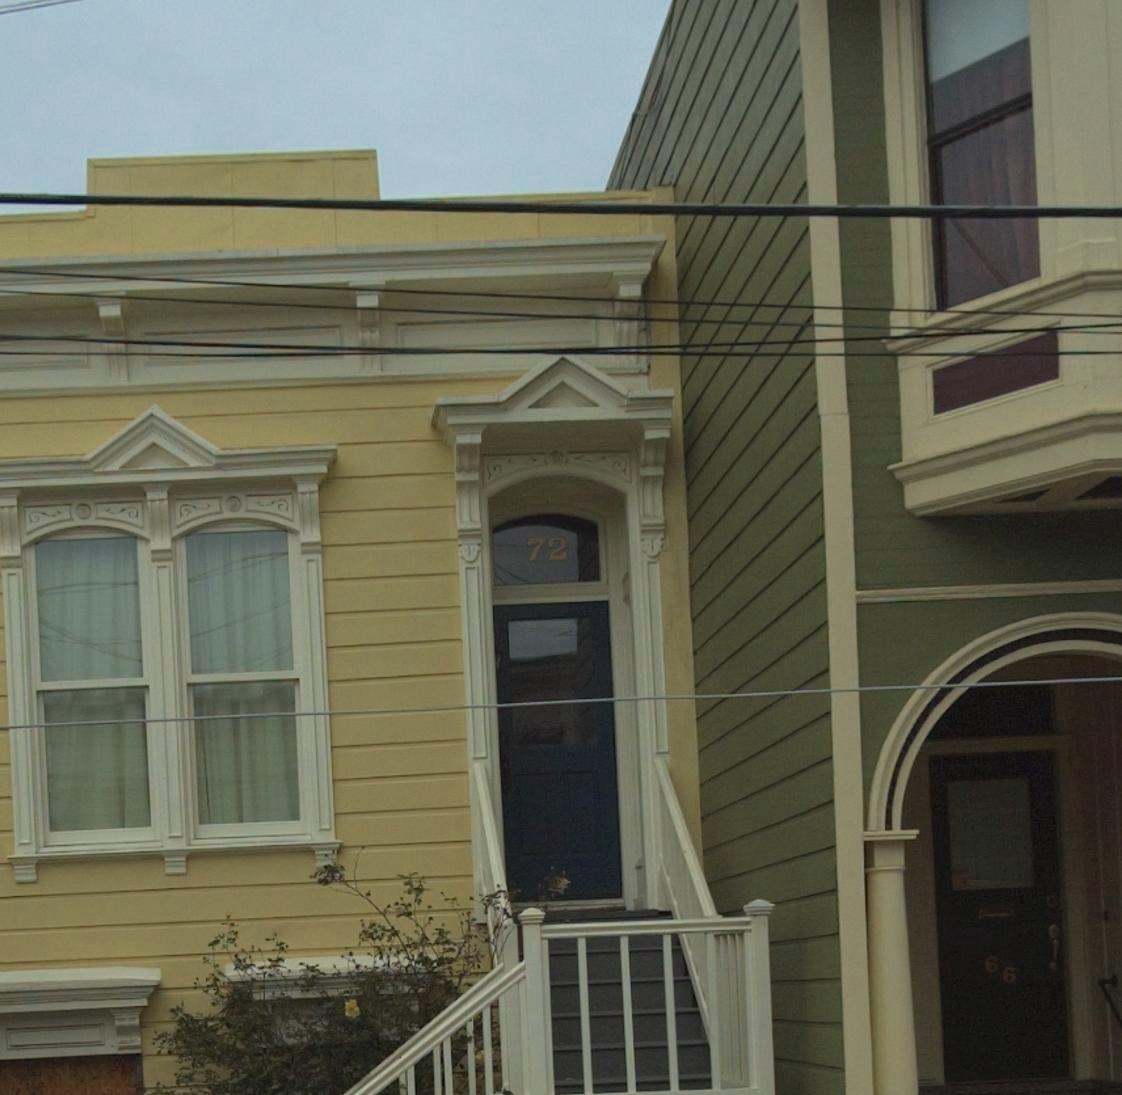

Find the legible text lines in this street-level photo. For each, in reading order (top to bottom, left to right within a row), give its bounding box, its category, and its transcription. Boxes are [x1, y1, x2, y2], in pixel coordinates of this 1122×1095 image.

[525, 536, 570, 562] StreetNumber: 72
[982, 953, 1018, 986] StreetNumber: 66